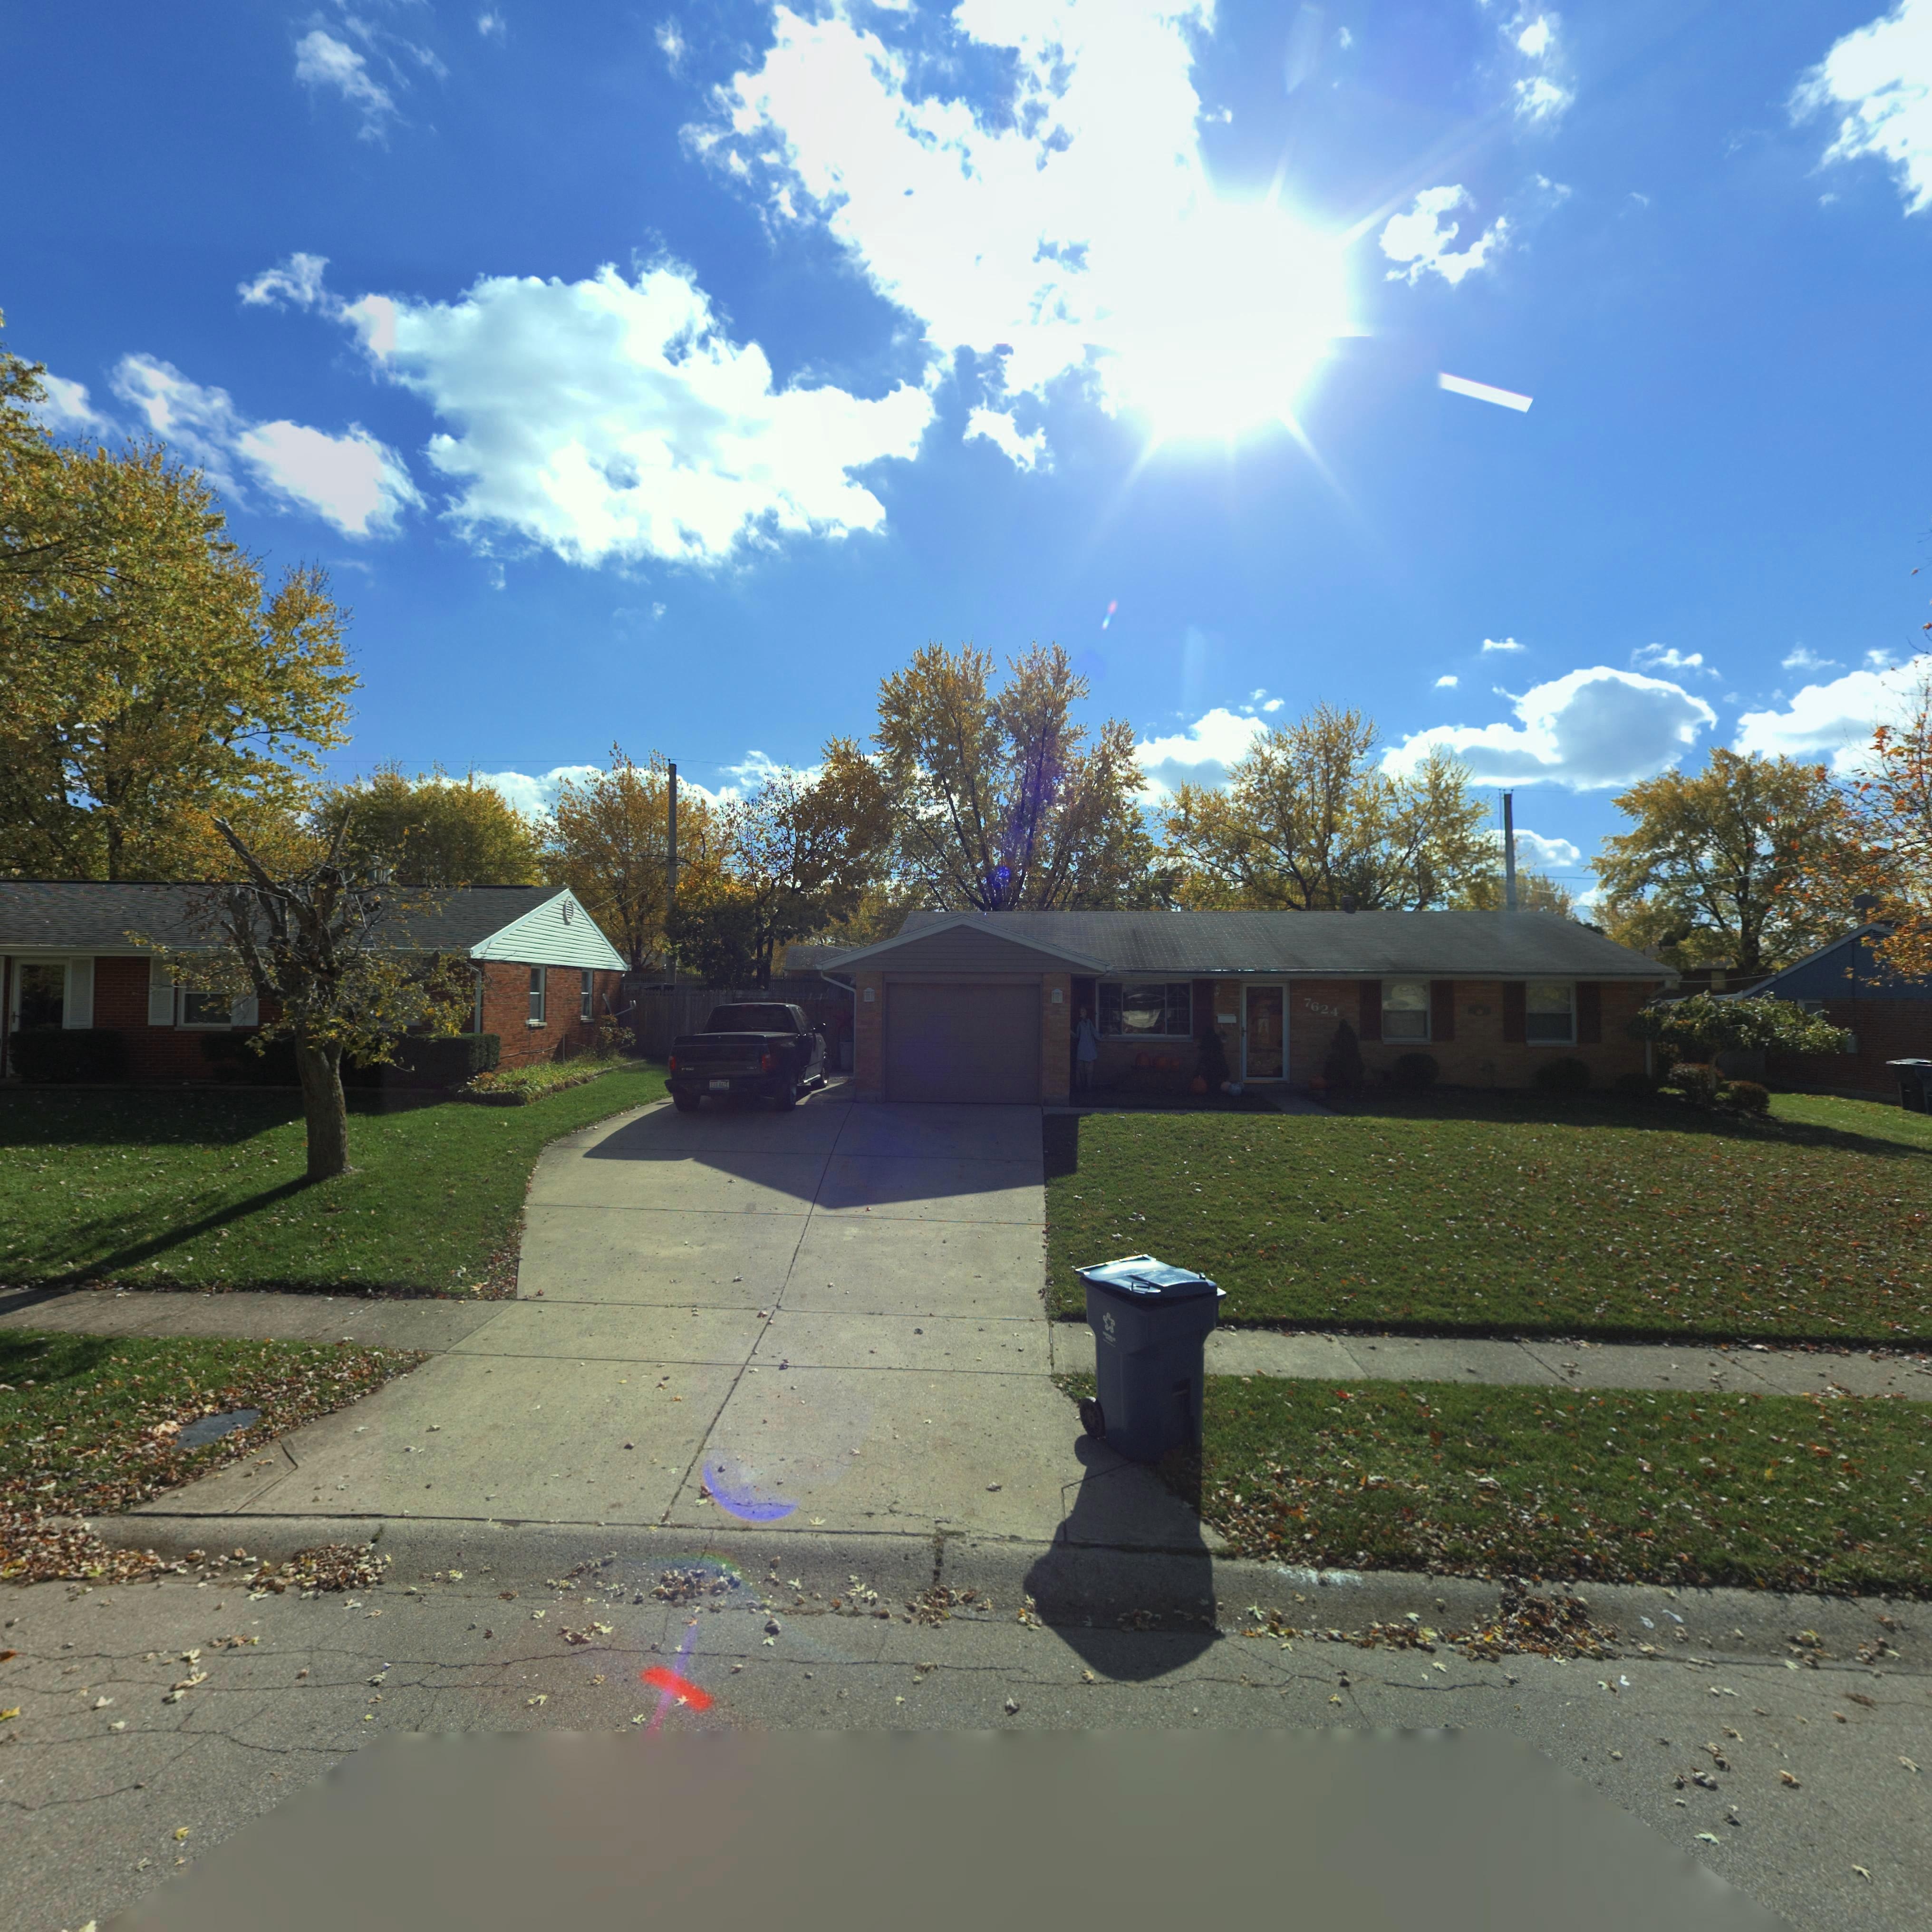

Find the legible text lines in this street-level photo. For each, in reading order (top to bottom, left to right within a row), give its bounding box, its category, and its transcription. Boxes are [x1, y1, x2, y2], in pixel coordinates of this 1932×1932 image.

[1304, 997, 1339, 1016] StreetNumber: 7624